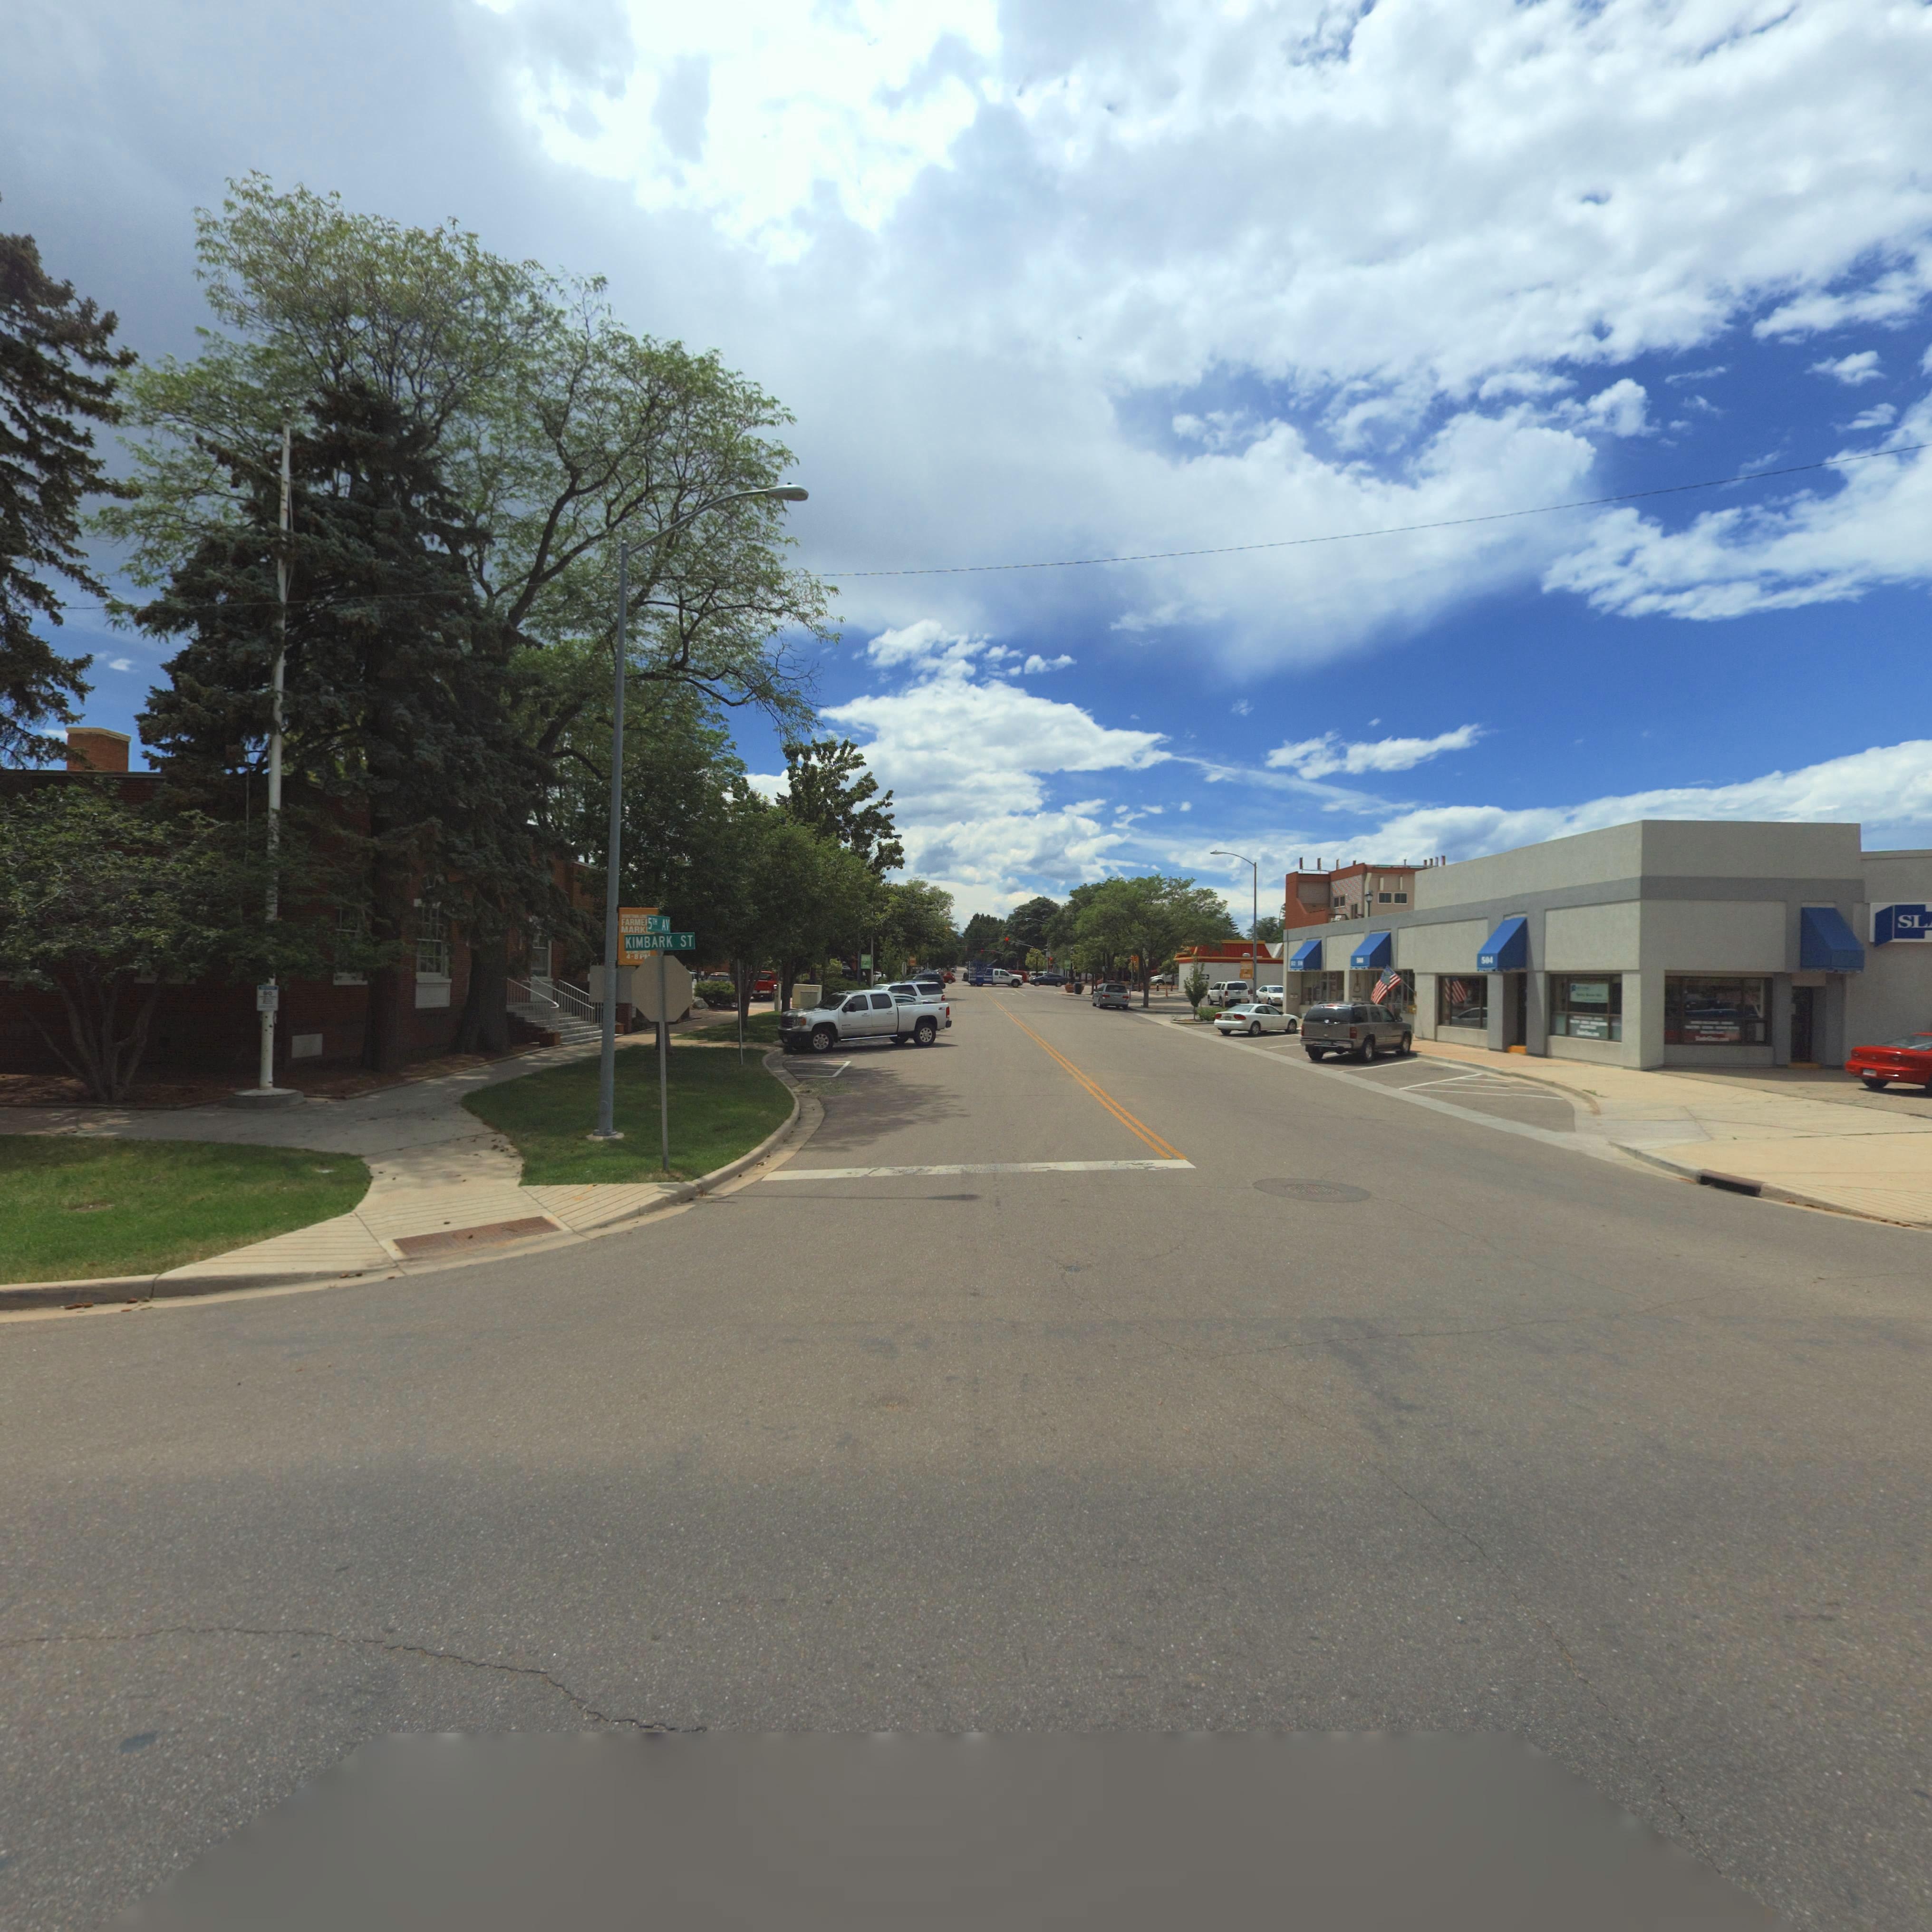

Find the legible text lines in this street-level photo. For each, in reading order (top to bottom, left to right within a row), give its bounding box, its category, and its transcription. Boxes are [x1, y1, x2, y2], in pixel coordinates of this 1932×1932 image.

[647, 917, 670, 931] StreetName: 5TH AV
[1897, 914, 1929, 928] BusinessName: SL
[625, 934, 694, 948] StreetName: KIMBARK ST
[1291, 961, 1295, 966] StreetNumber: 5**
[1356, 957, 1363, 963] StreetNumber: 508
[1481, 956, 1493, 964] StreetNumber: 504